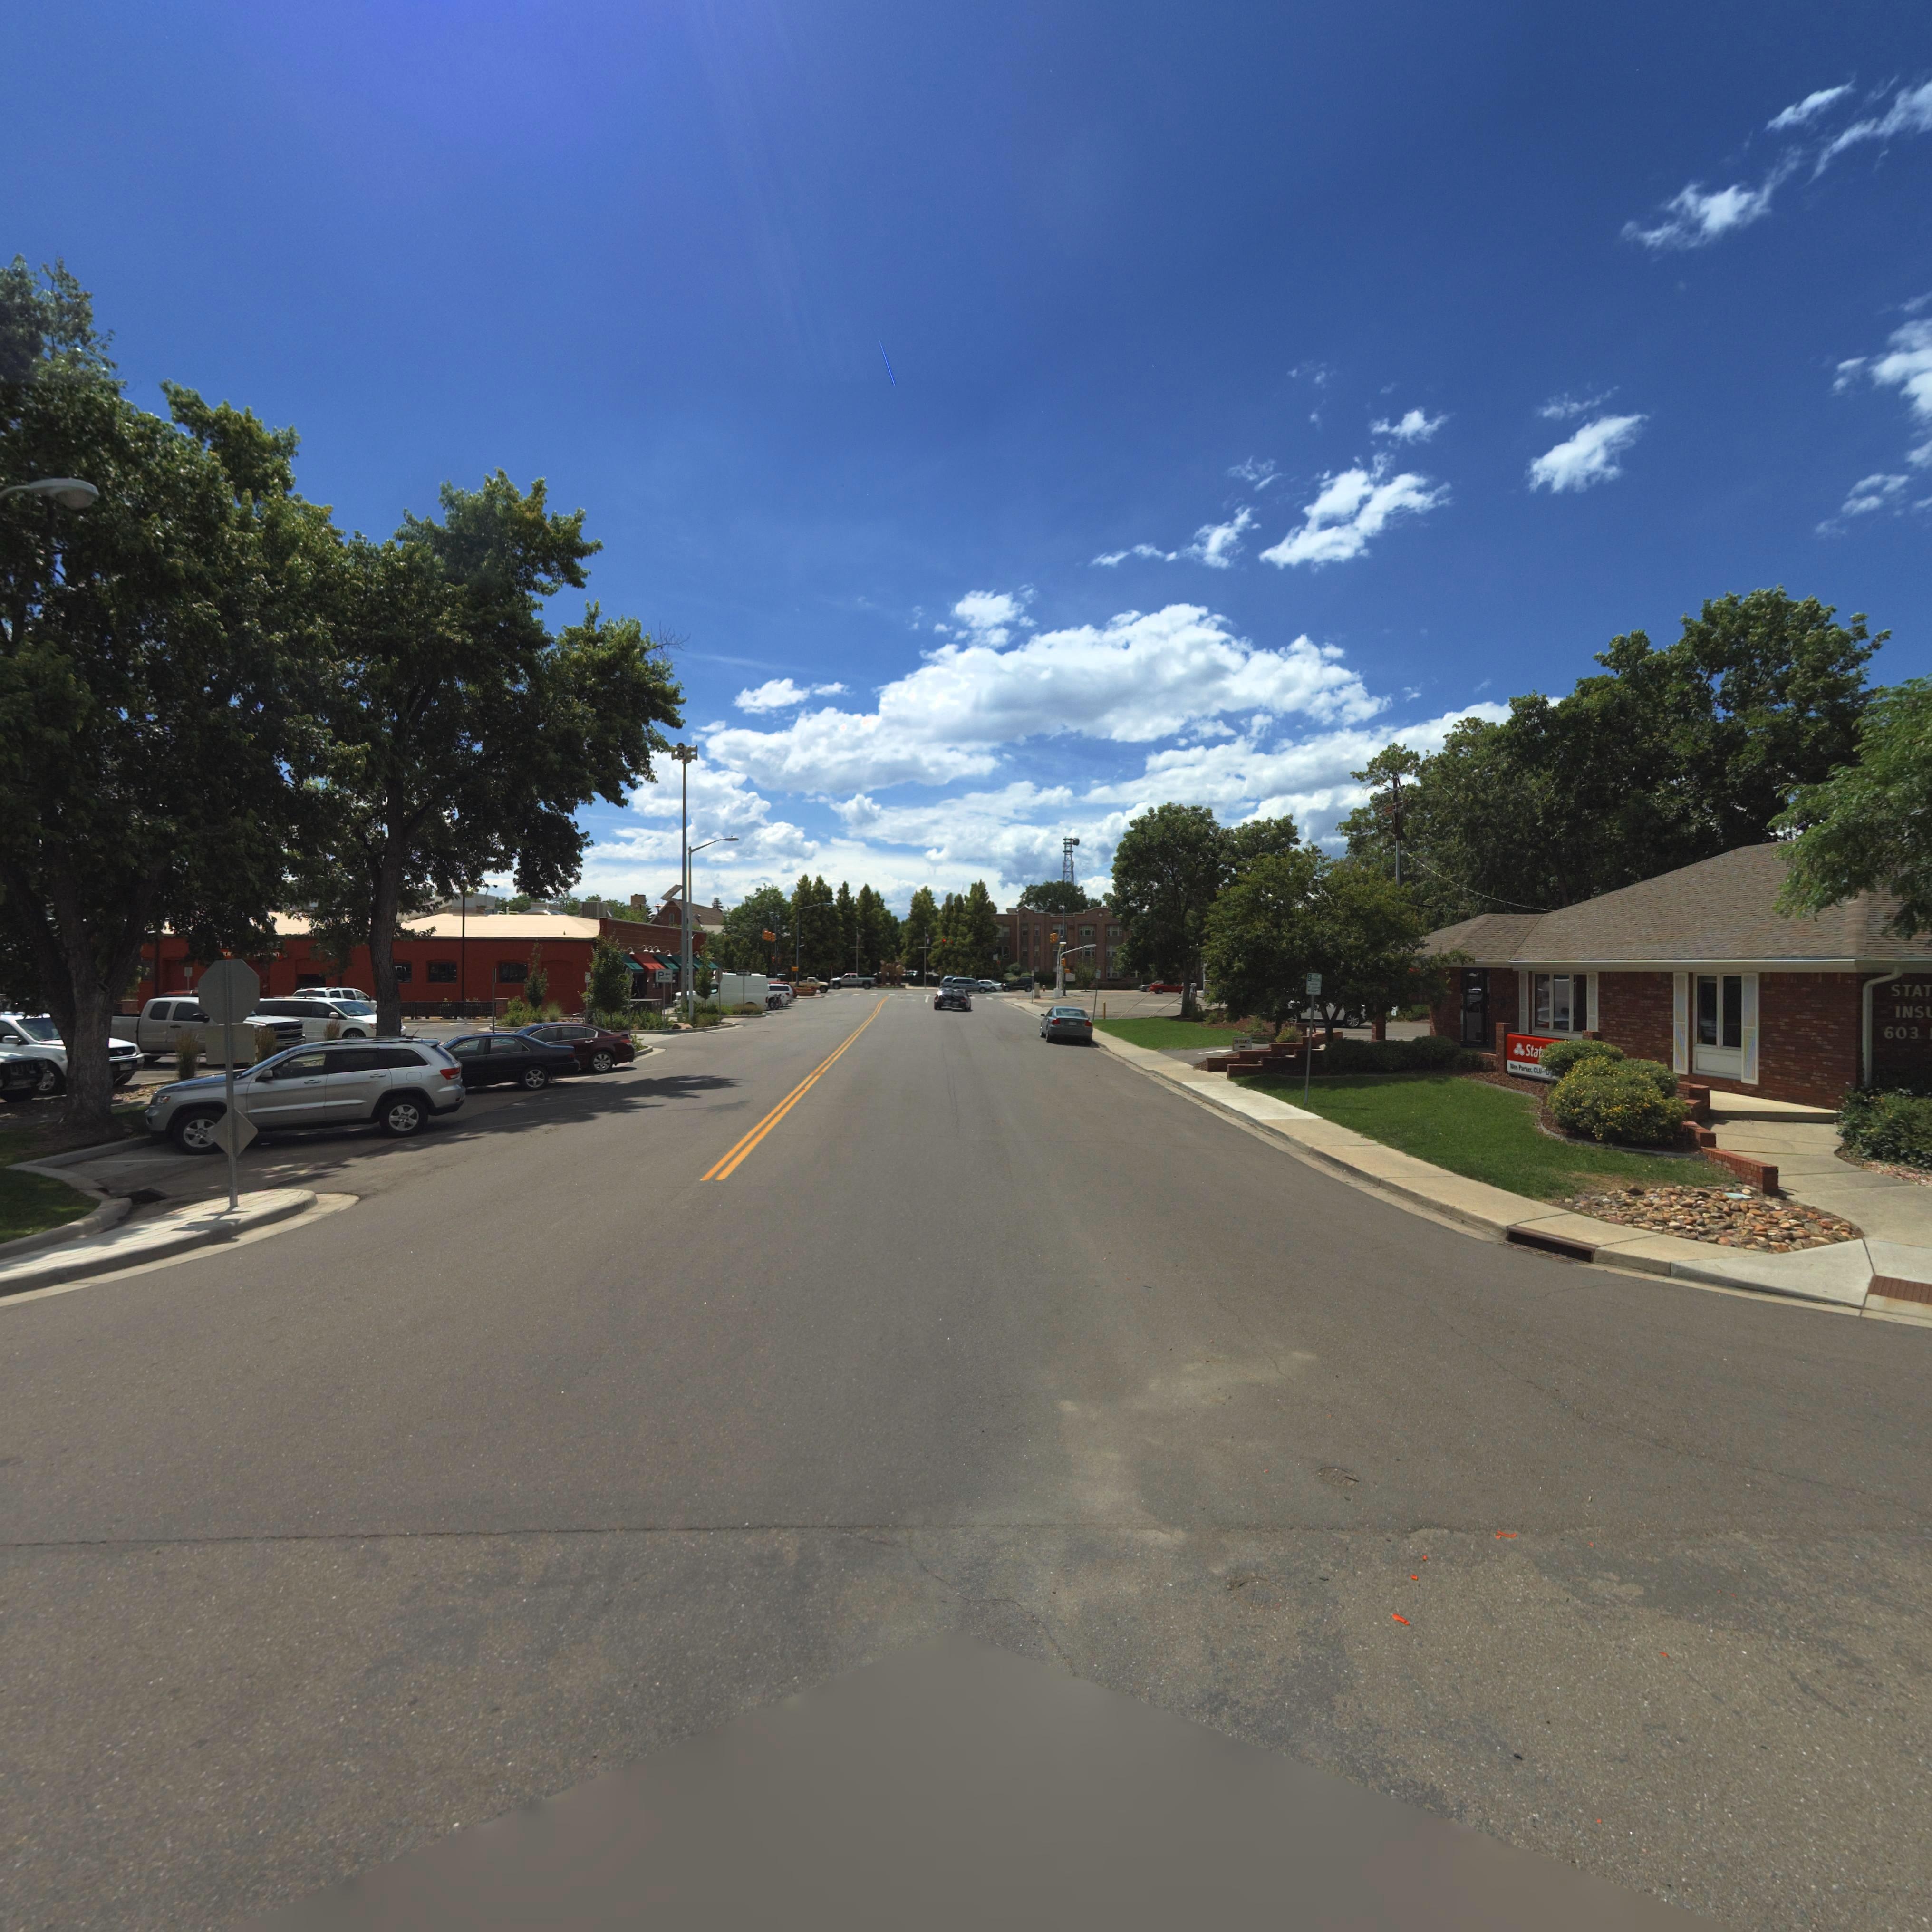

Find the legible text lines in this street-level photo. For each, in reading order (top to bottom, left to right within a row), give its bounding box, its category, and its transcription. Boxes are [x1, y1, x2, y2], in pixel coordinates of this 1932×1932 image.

[1890, 984, 1932, 998] BusinessName: STAT
[1893, 1005, 1925, 1019] BusinessName: INS
[1884, 1025, 1920, 1040] StreetNumber: 603
[1524, 1043, 1539, 1058] BusinessName: Sta